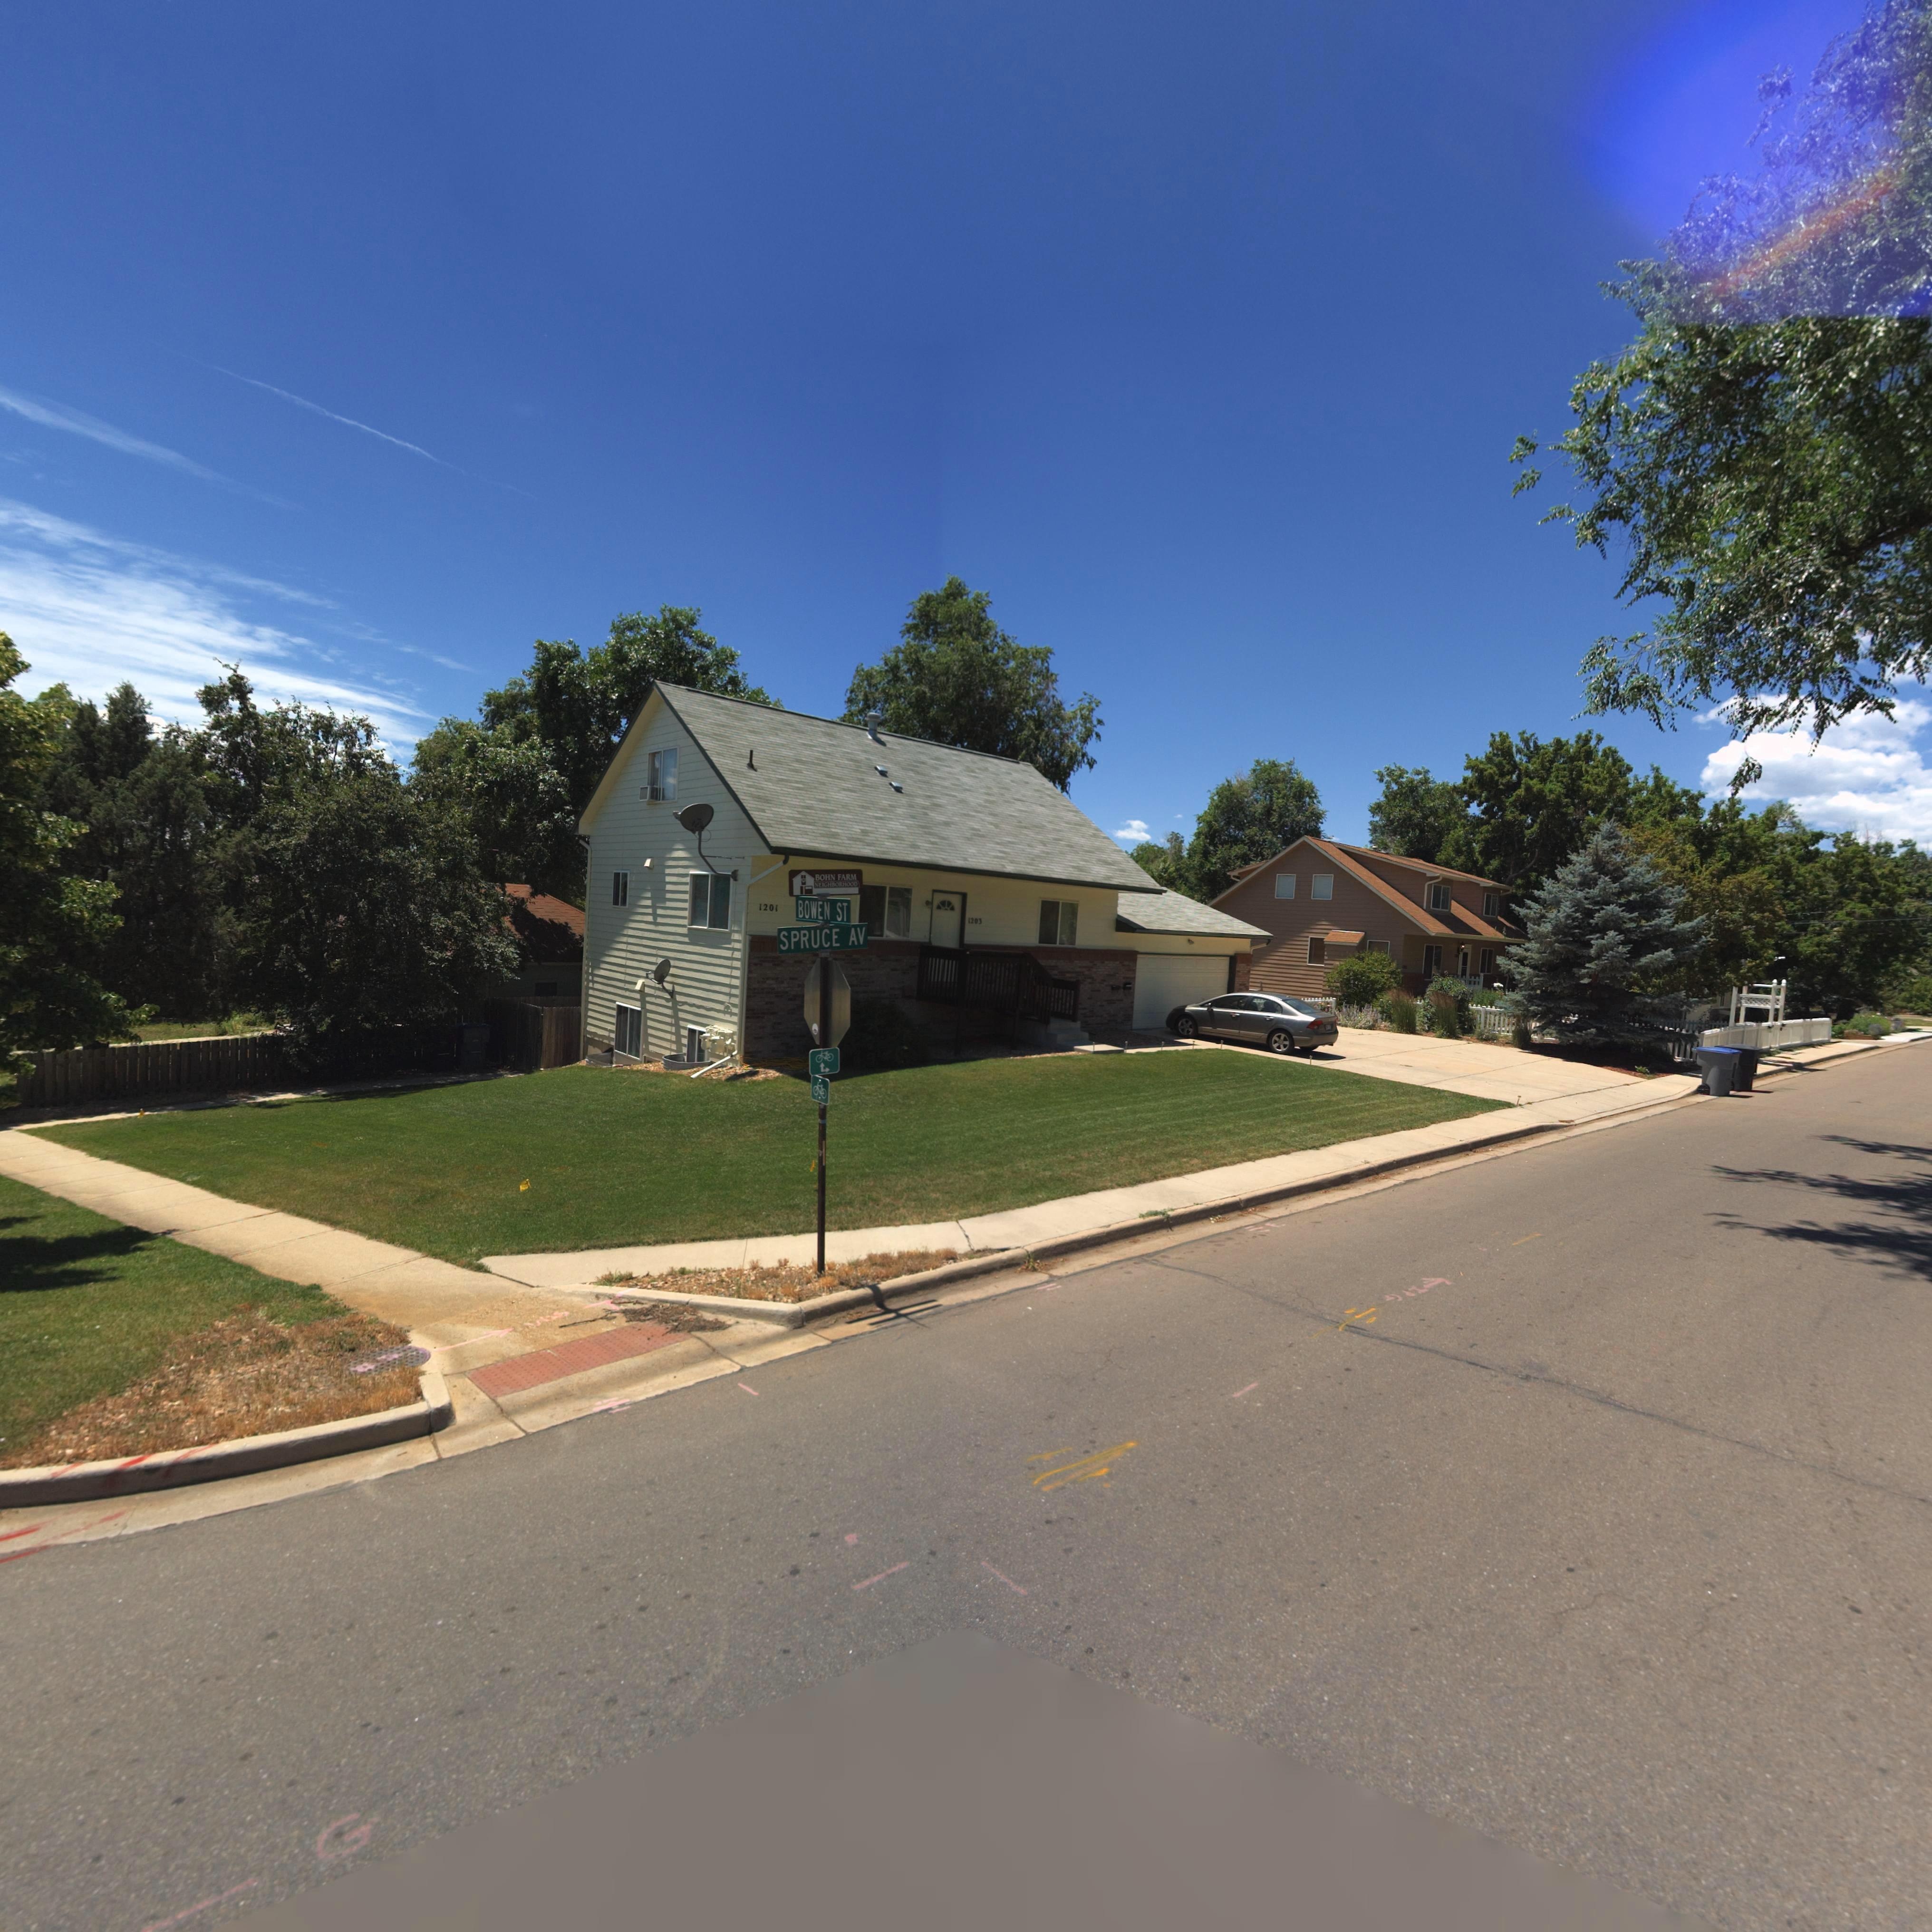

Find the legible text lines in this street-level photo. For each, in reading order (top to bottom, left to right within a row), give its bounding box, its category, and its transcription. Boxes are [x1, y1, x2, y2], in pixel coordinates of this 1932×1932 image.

[759, 903, 778, 912] StreetNumber: 1201
[798, 900, 848, 921] StreetName: BOWEN ST
[968, 917, 982, 925] StreetNumber: 1203
[780, 926, 866, 950] StreetName: SPRUCE AV